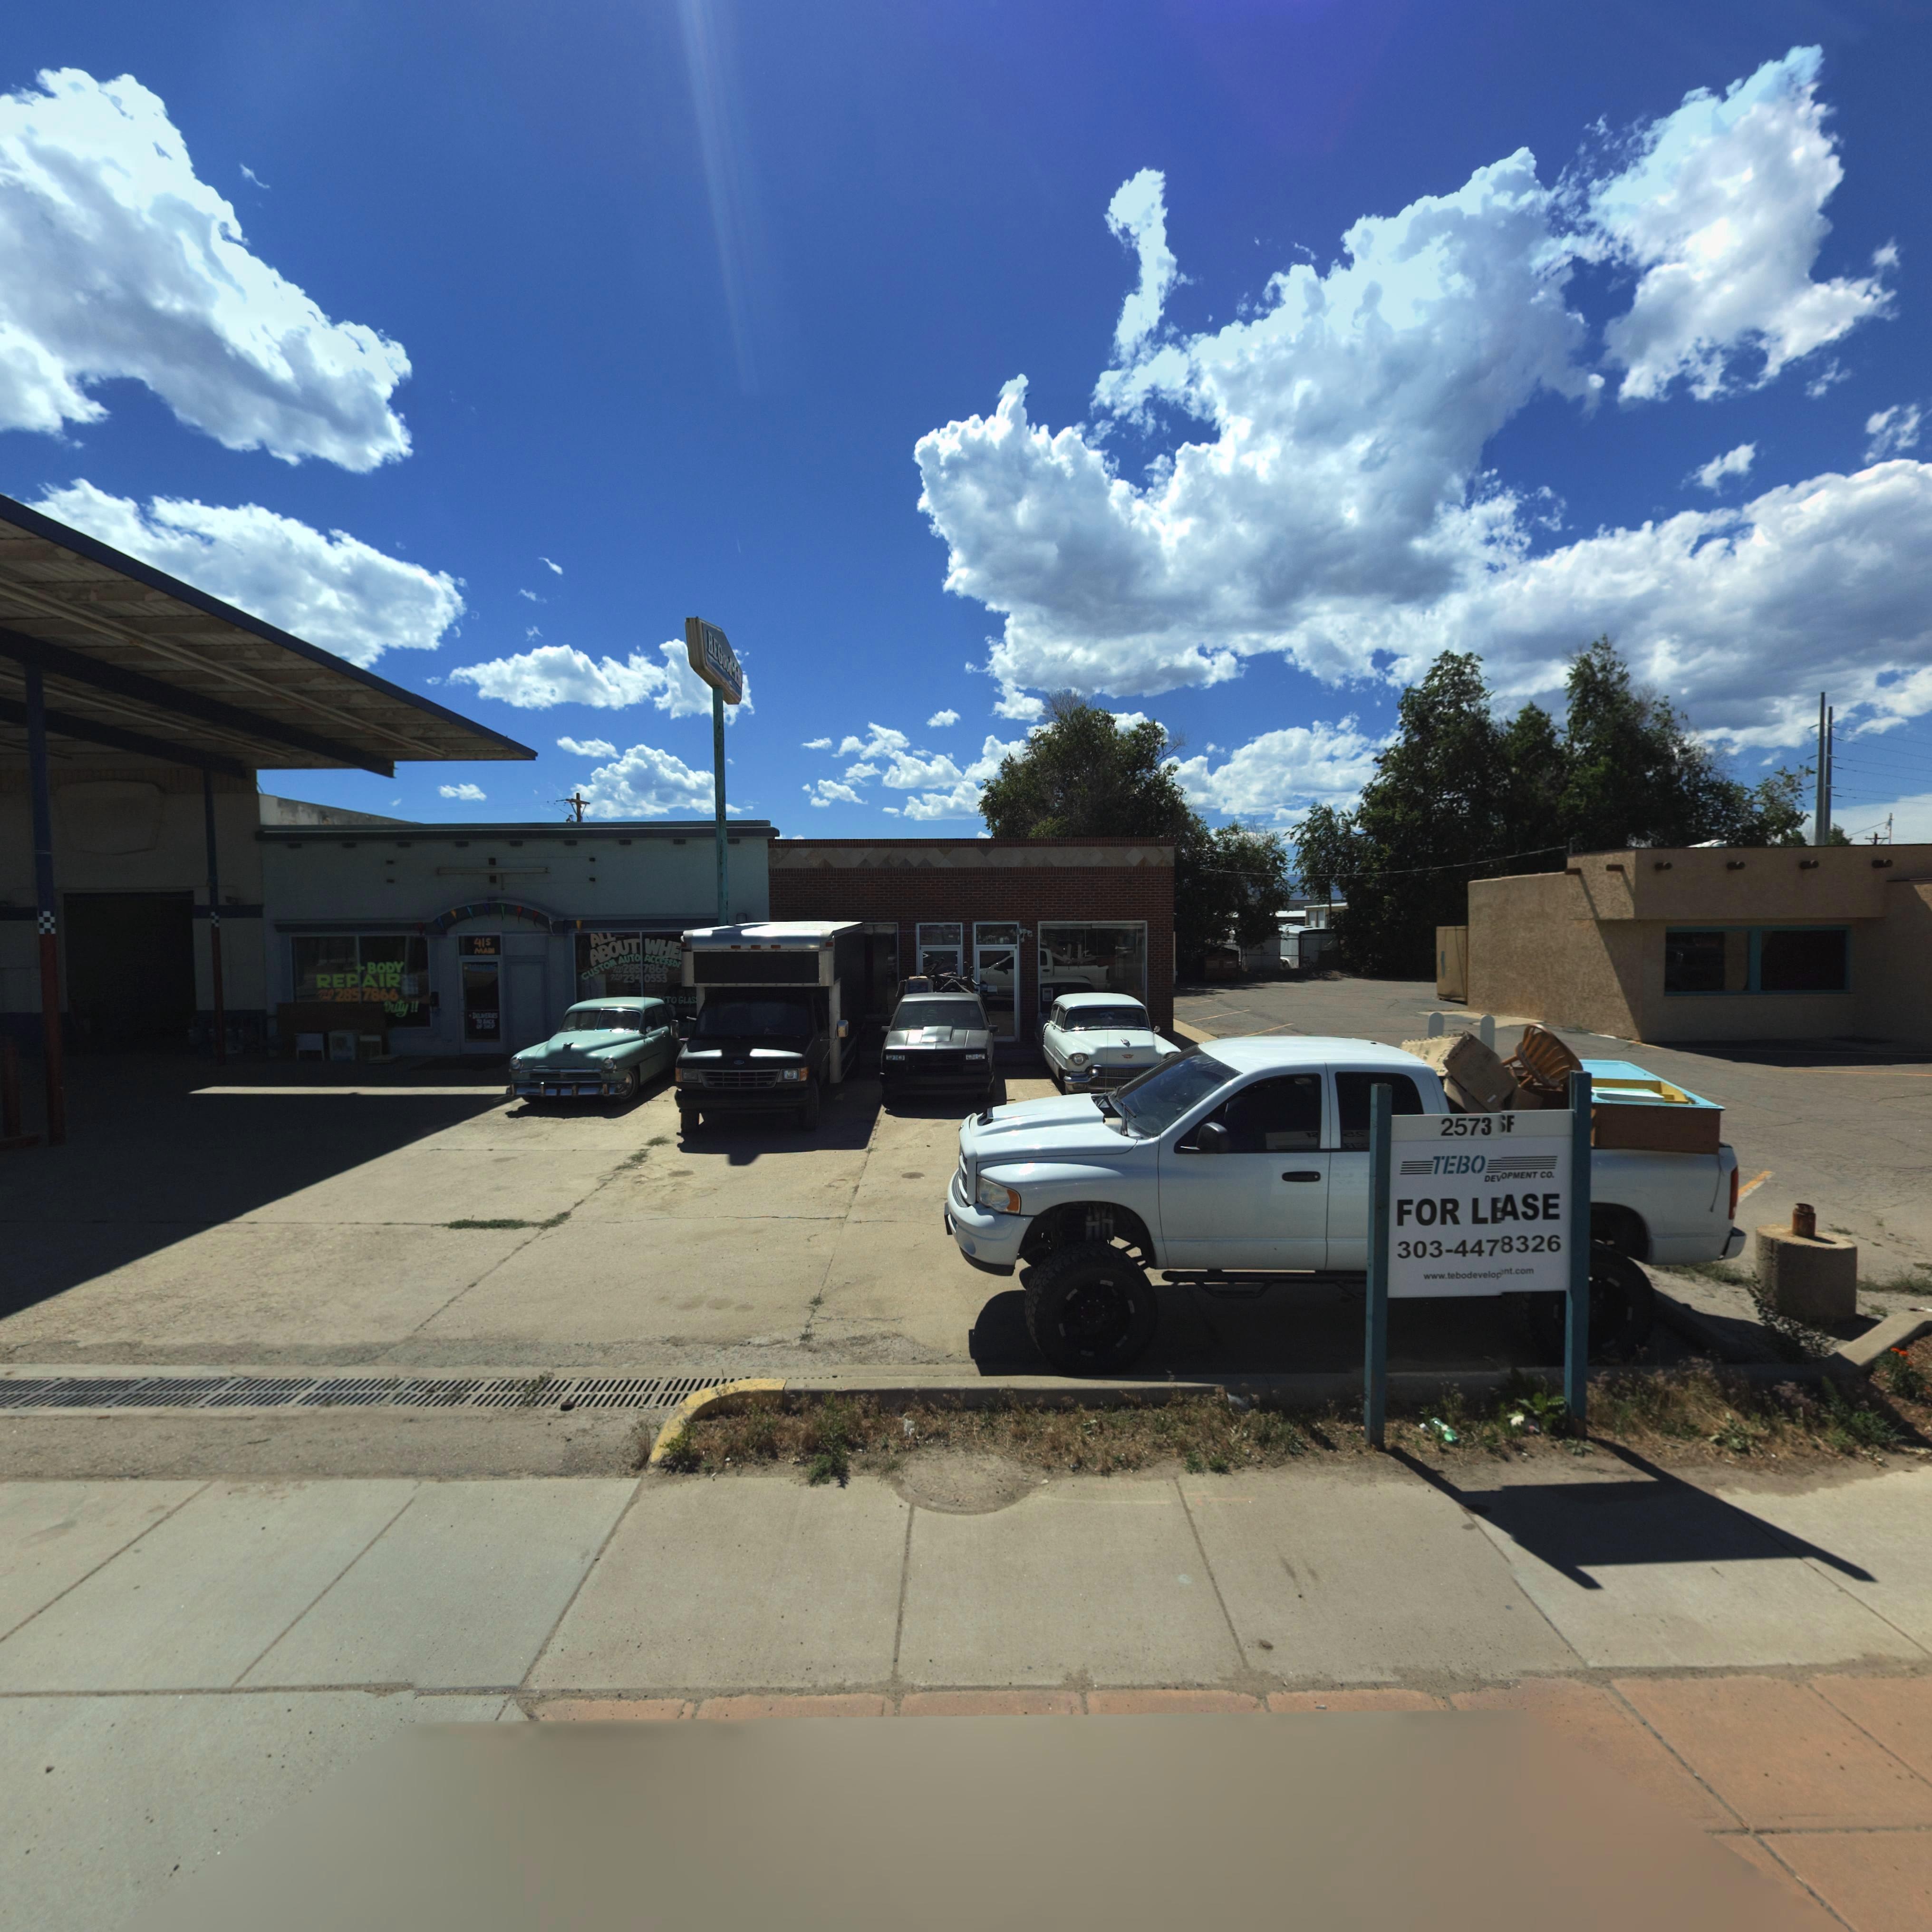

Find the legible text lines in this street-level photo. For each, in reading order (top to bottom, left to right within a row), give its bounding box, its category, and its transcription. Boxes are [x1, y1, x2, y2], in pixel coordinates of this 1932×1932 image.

[473, 937, 485, 948] StreetNumber: 41
[485, 937, 491, 946] StreetName: S
[589, 933, 616, 948] BusinessName: ALL
[473, 947, 495, 954] StreetName: MAIN
[589, 938, 682, 967] BusinessName: ABOUT WHE
[580, 954, 682, 980] BusinessName: CUSTOM AUTO ACCeSSOr